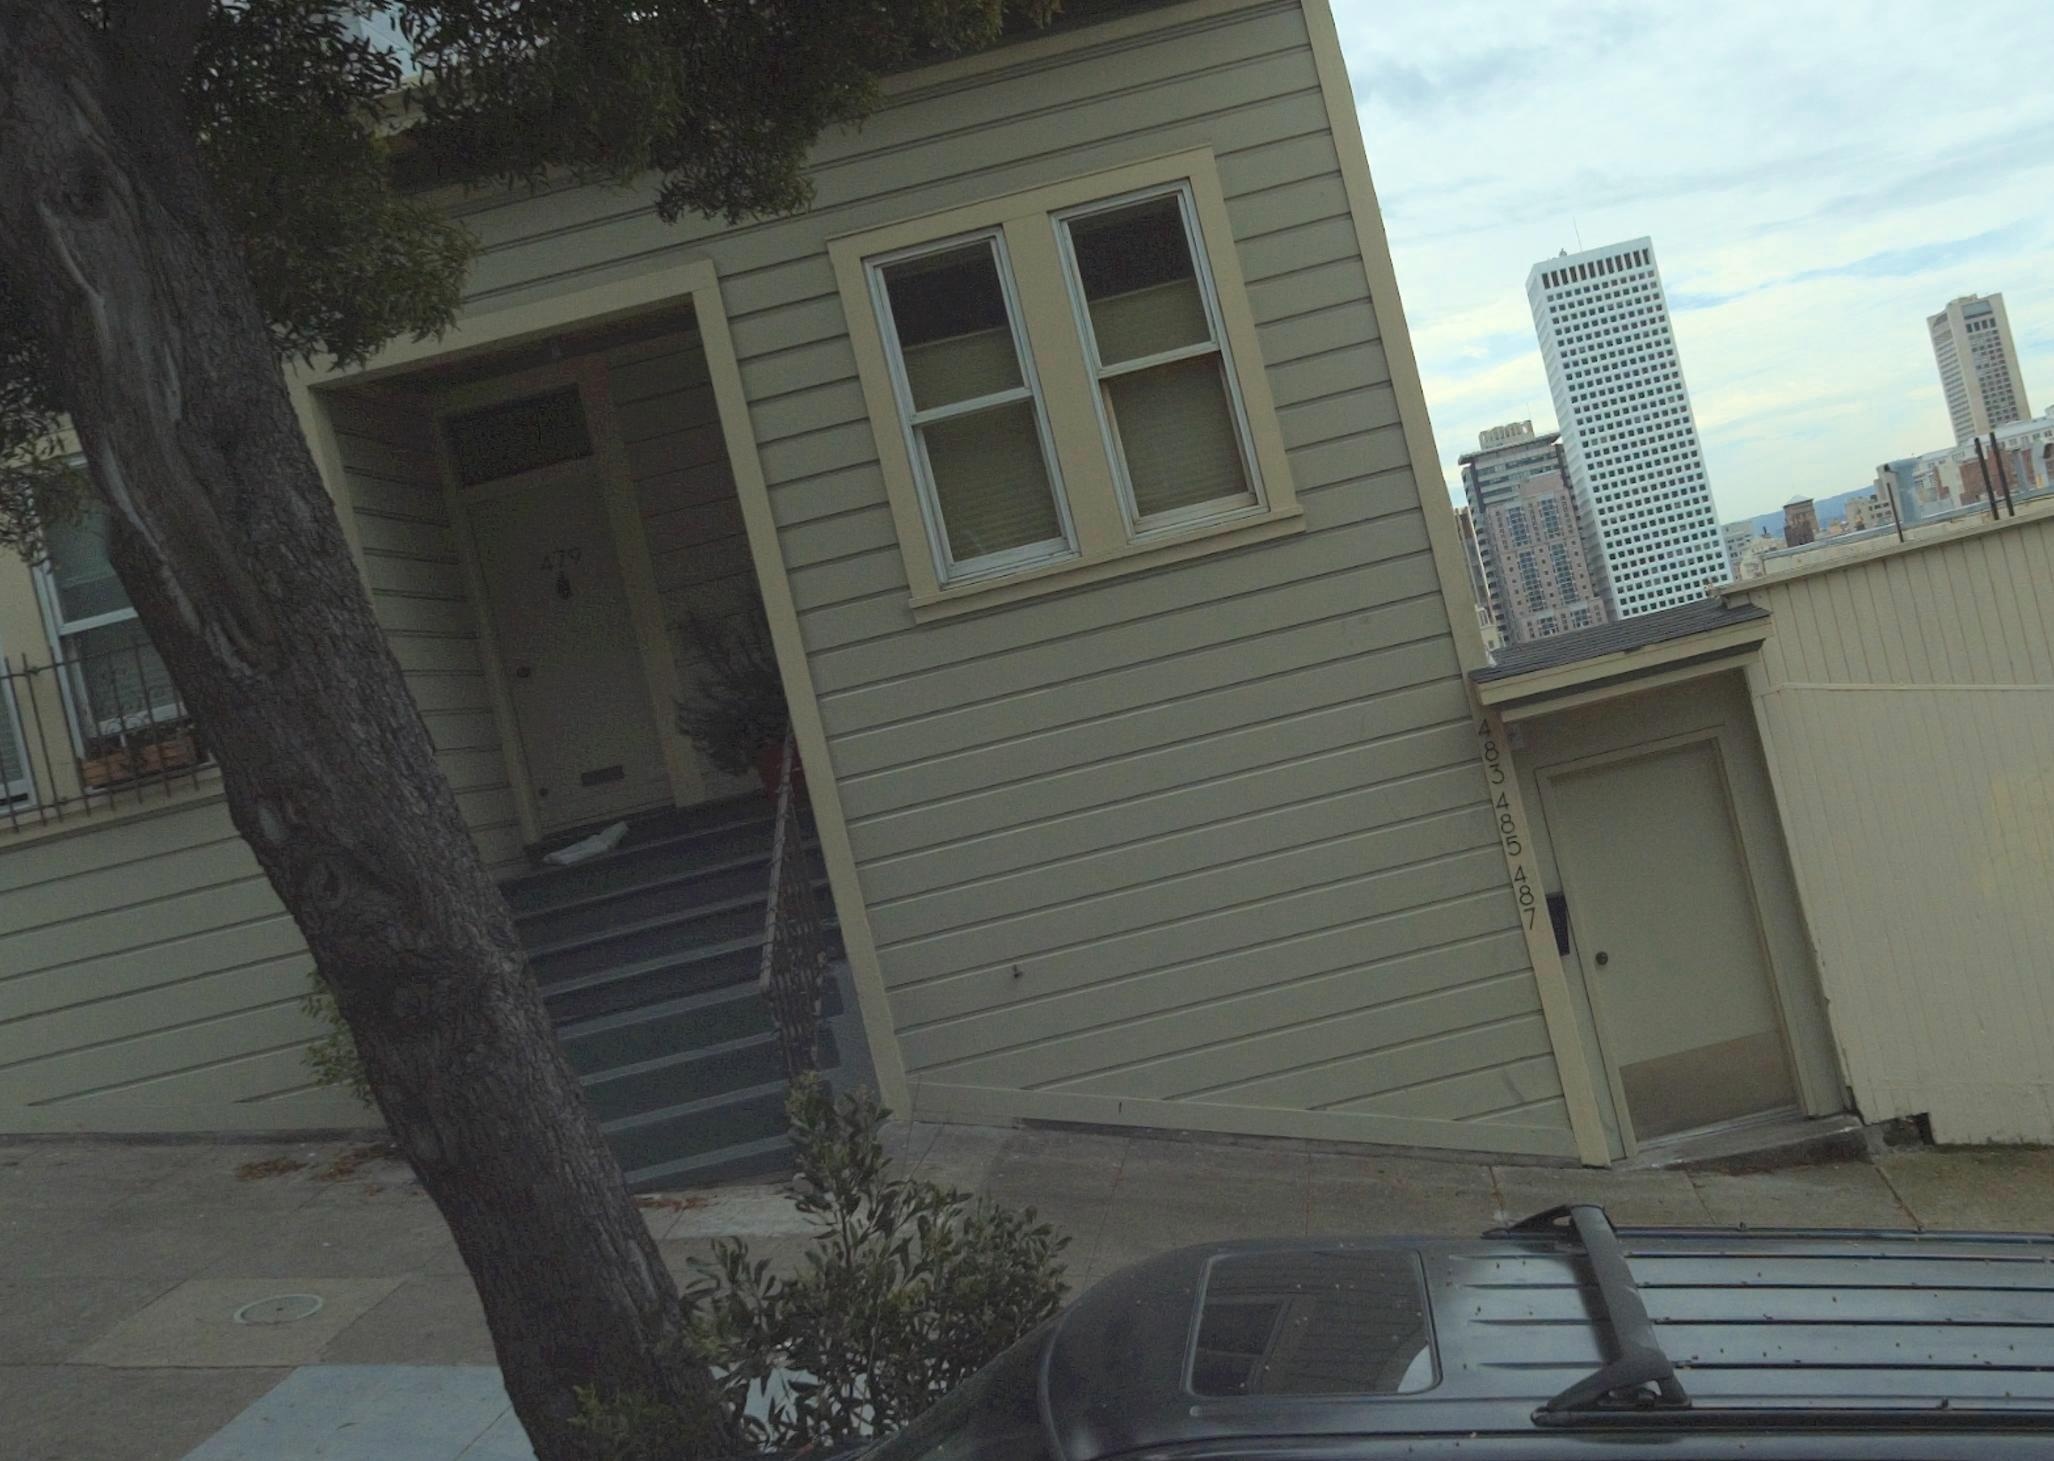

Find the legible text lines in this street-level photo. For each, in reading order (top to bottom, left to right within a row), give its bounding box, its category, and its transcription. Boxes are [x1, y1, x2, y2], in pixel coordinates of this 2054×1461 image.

[536, 541, 586, 578] StreetNumber: 479
[1472, 711, 1512, 791] StreetNumber: 483
[1490, 786, 1529, 861] StreetNumber: 485
[1508, 857, 1539, 938] StreetNumber: 487